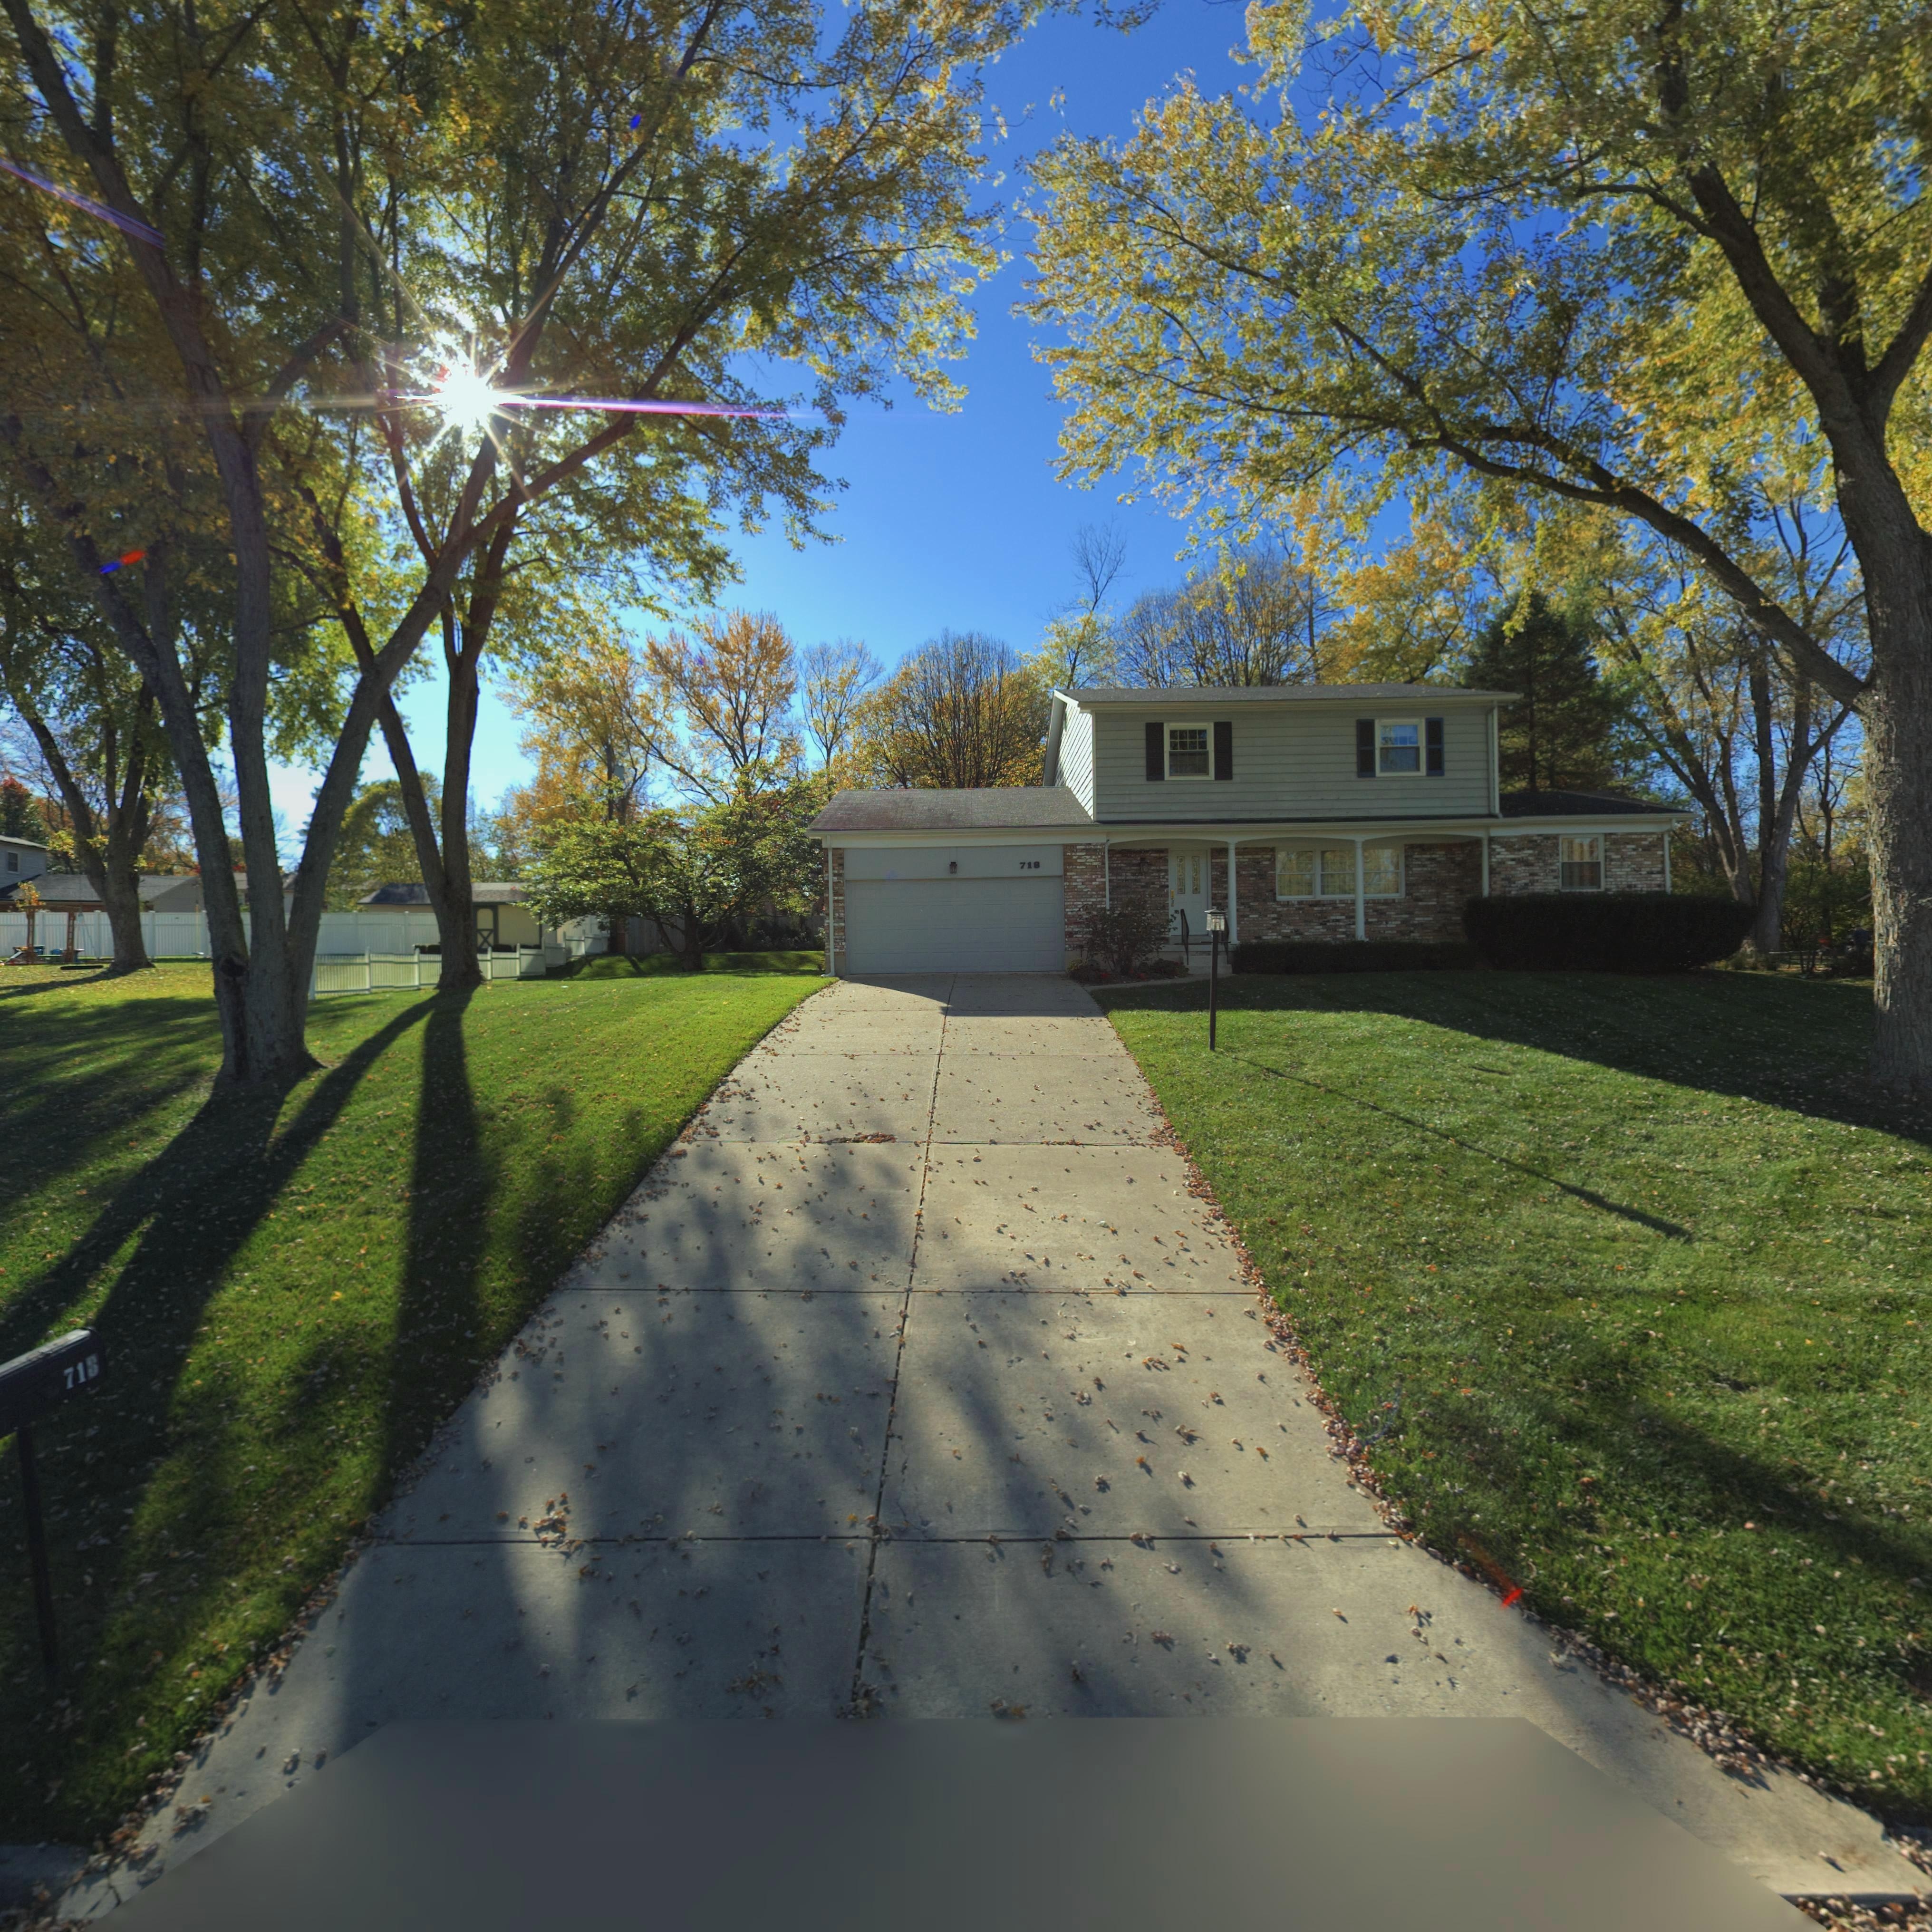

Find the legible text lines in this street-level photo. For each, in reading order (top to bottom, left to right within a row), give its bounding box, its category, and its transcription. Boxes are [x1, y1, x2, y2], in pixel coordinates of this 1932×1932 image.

[1019, 860, 1041, 870] StreetNumber: 718
[63, 1352, 101, 1394] StreetNumber: 718